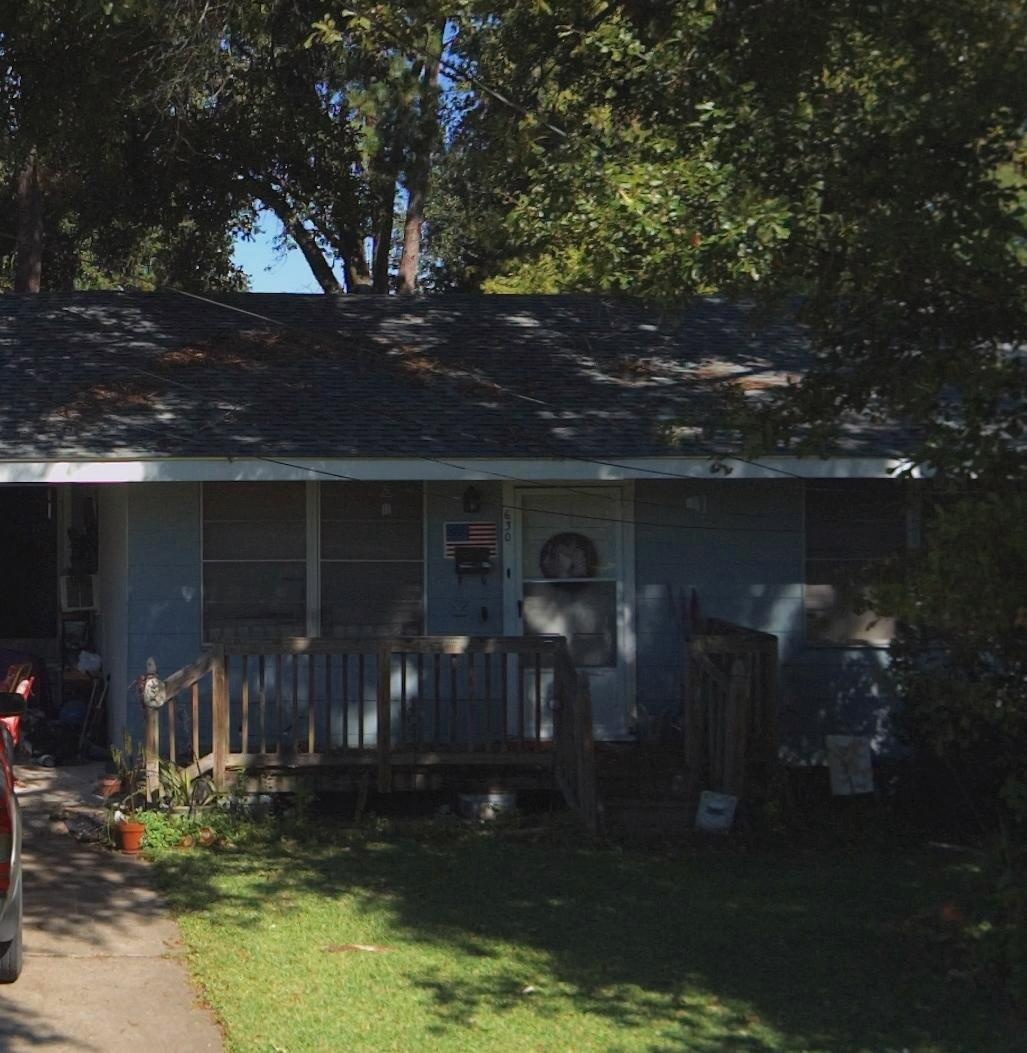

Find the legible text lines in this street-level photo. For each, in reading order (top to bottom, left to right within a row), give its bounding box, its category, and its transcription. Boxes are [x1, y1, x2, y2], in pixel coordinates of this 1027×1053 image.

[503, 508, 512, 543] StreetNumber: 630